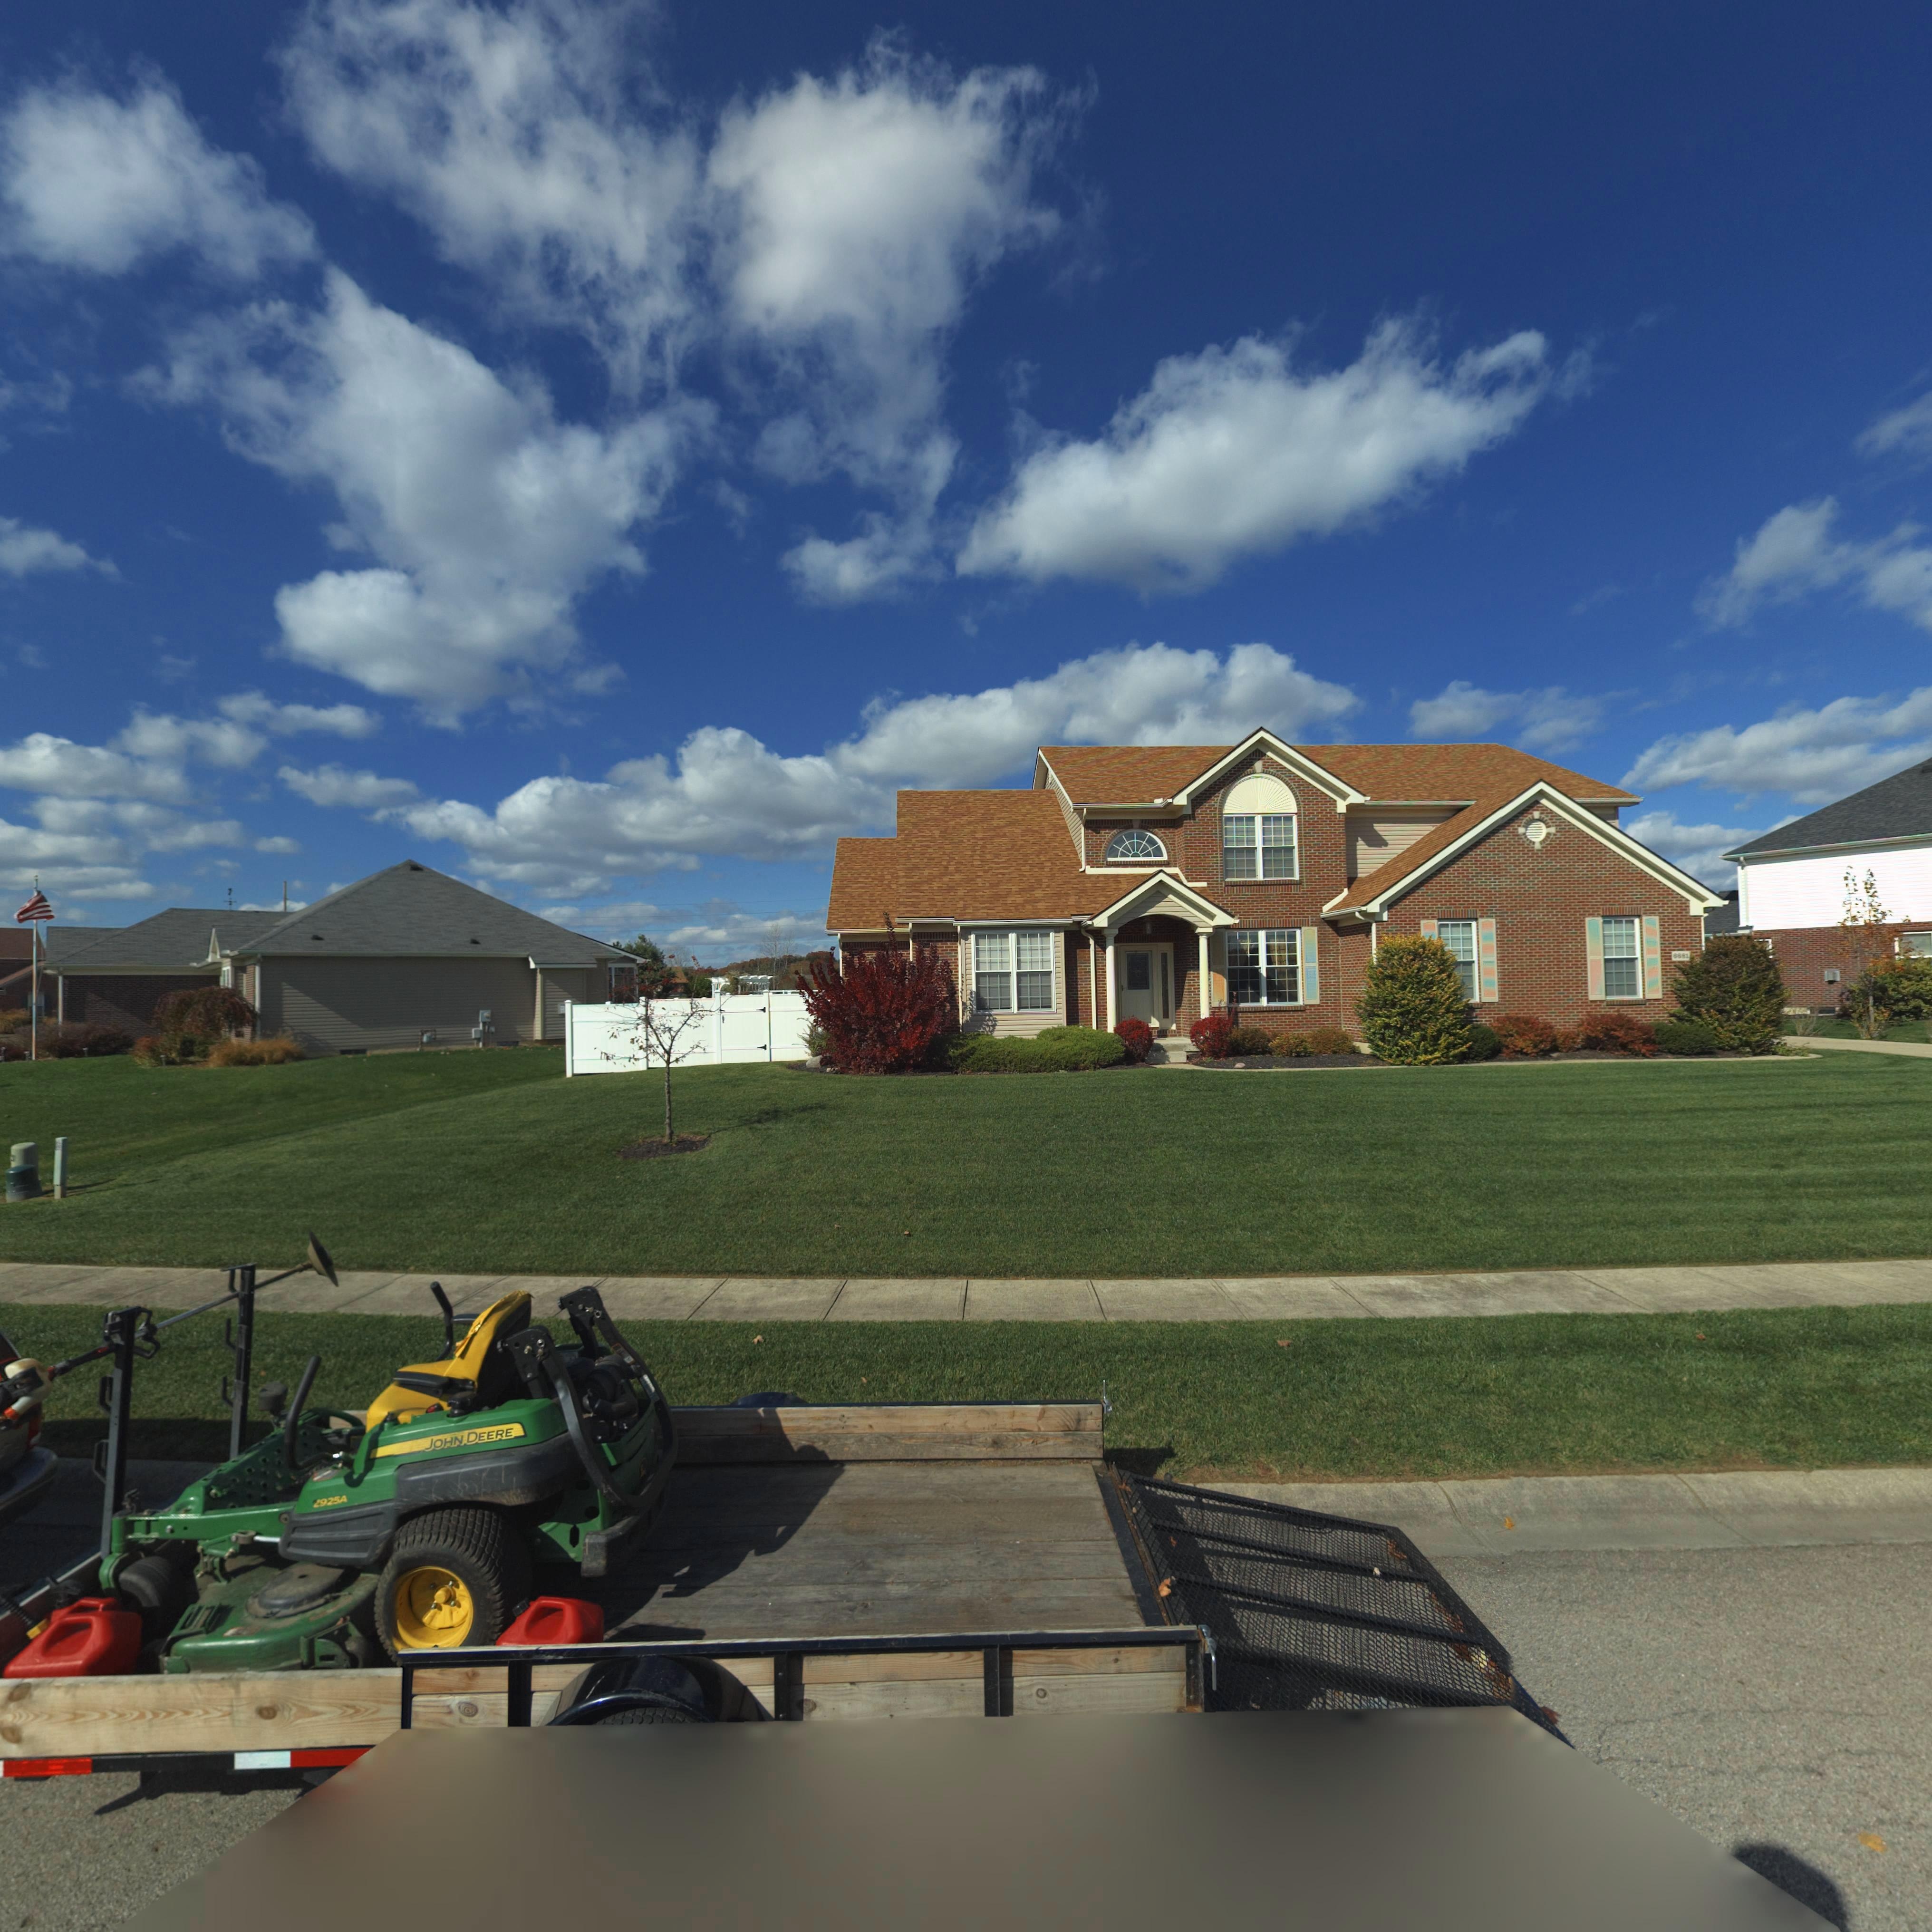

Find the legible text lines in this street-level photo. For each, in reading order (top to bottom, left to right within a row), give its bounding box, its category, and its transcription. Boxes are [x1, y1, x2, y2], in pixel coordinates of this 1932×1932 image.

[1672, 953, 1690, 959] StreetNumber: 6681